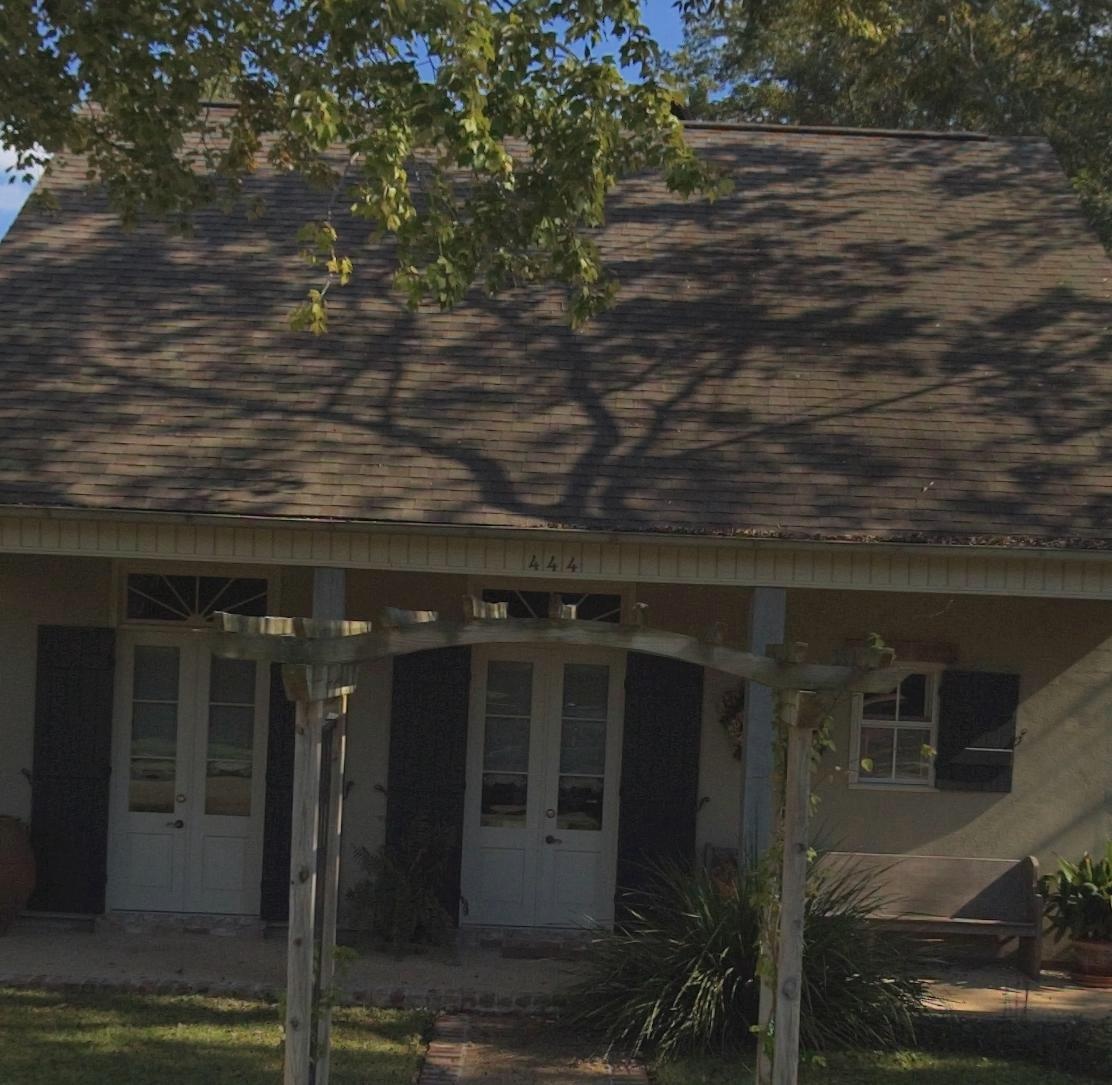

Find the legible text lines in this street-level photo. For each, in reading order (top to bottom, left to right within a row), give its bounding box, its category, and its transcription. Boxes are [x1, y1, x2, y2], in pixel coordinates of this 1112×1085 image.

[528, 554, 579, 572] StreetNumber: 444